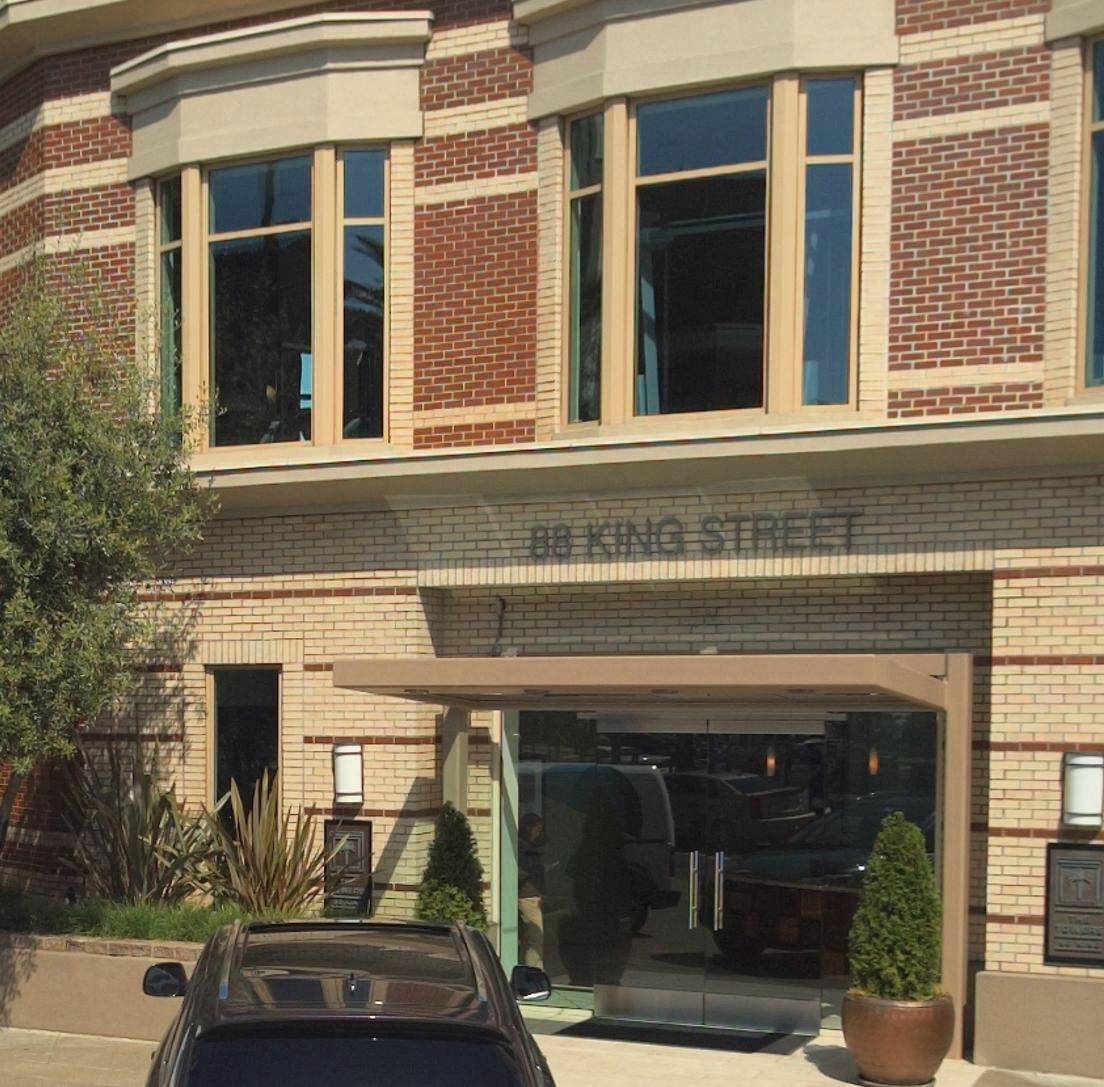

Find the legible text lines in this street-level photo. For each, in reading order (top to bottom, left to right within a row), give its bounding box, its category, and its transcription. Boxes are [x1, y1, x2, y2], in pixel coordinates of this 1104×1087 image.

[528, 522, 573, 560] StreetNumber: 88
[586, 510, 866, 559] StreetName: KING STREET